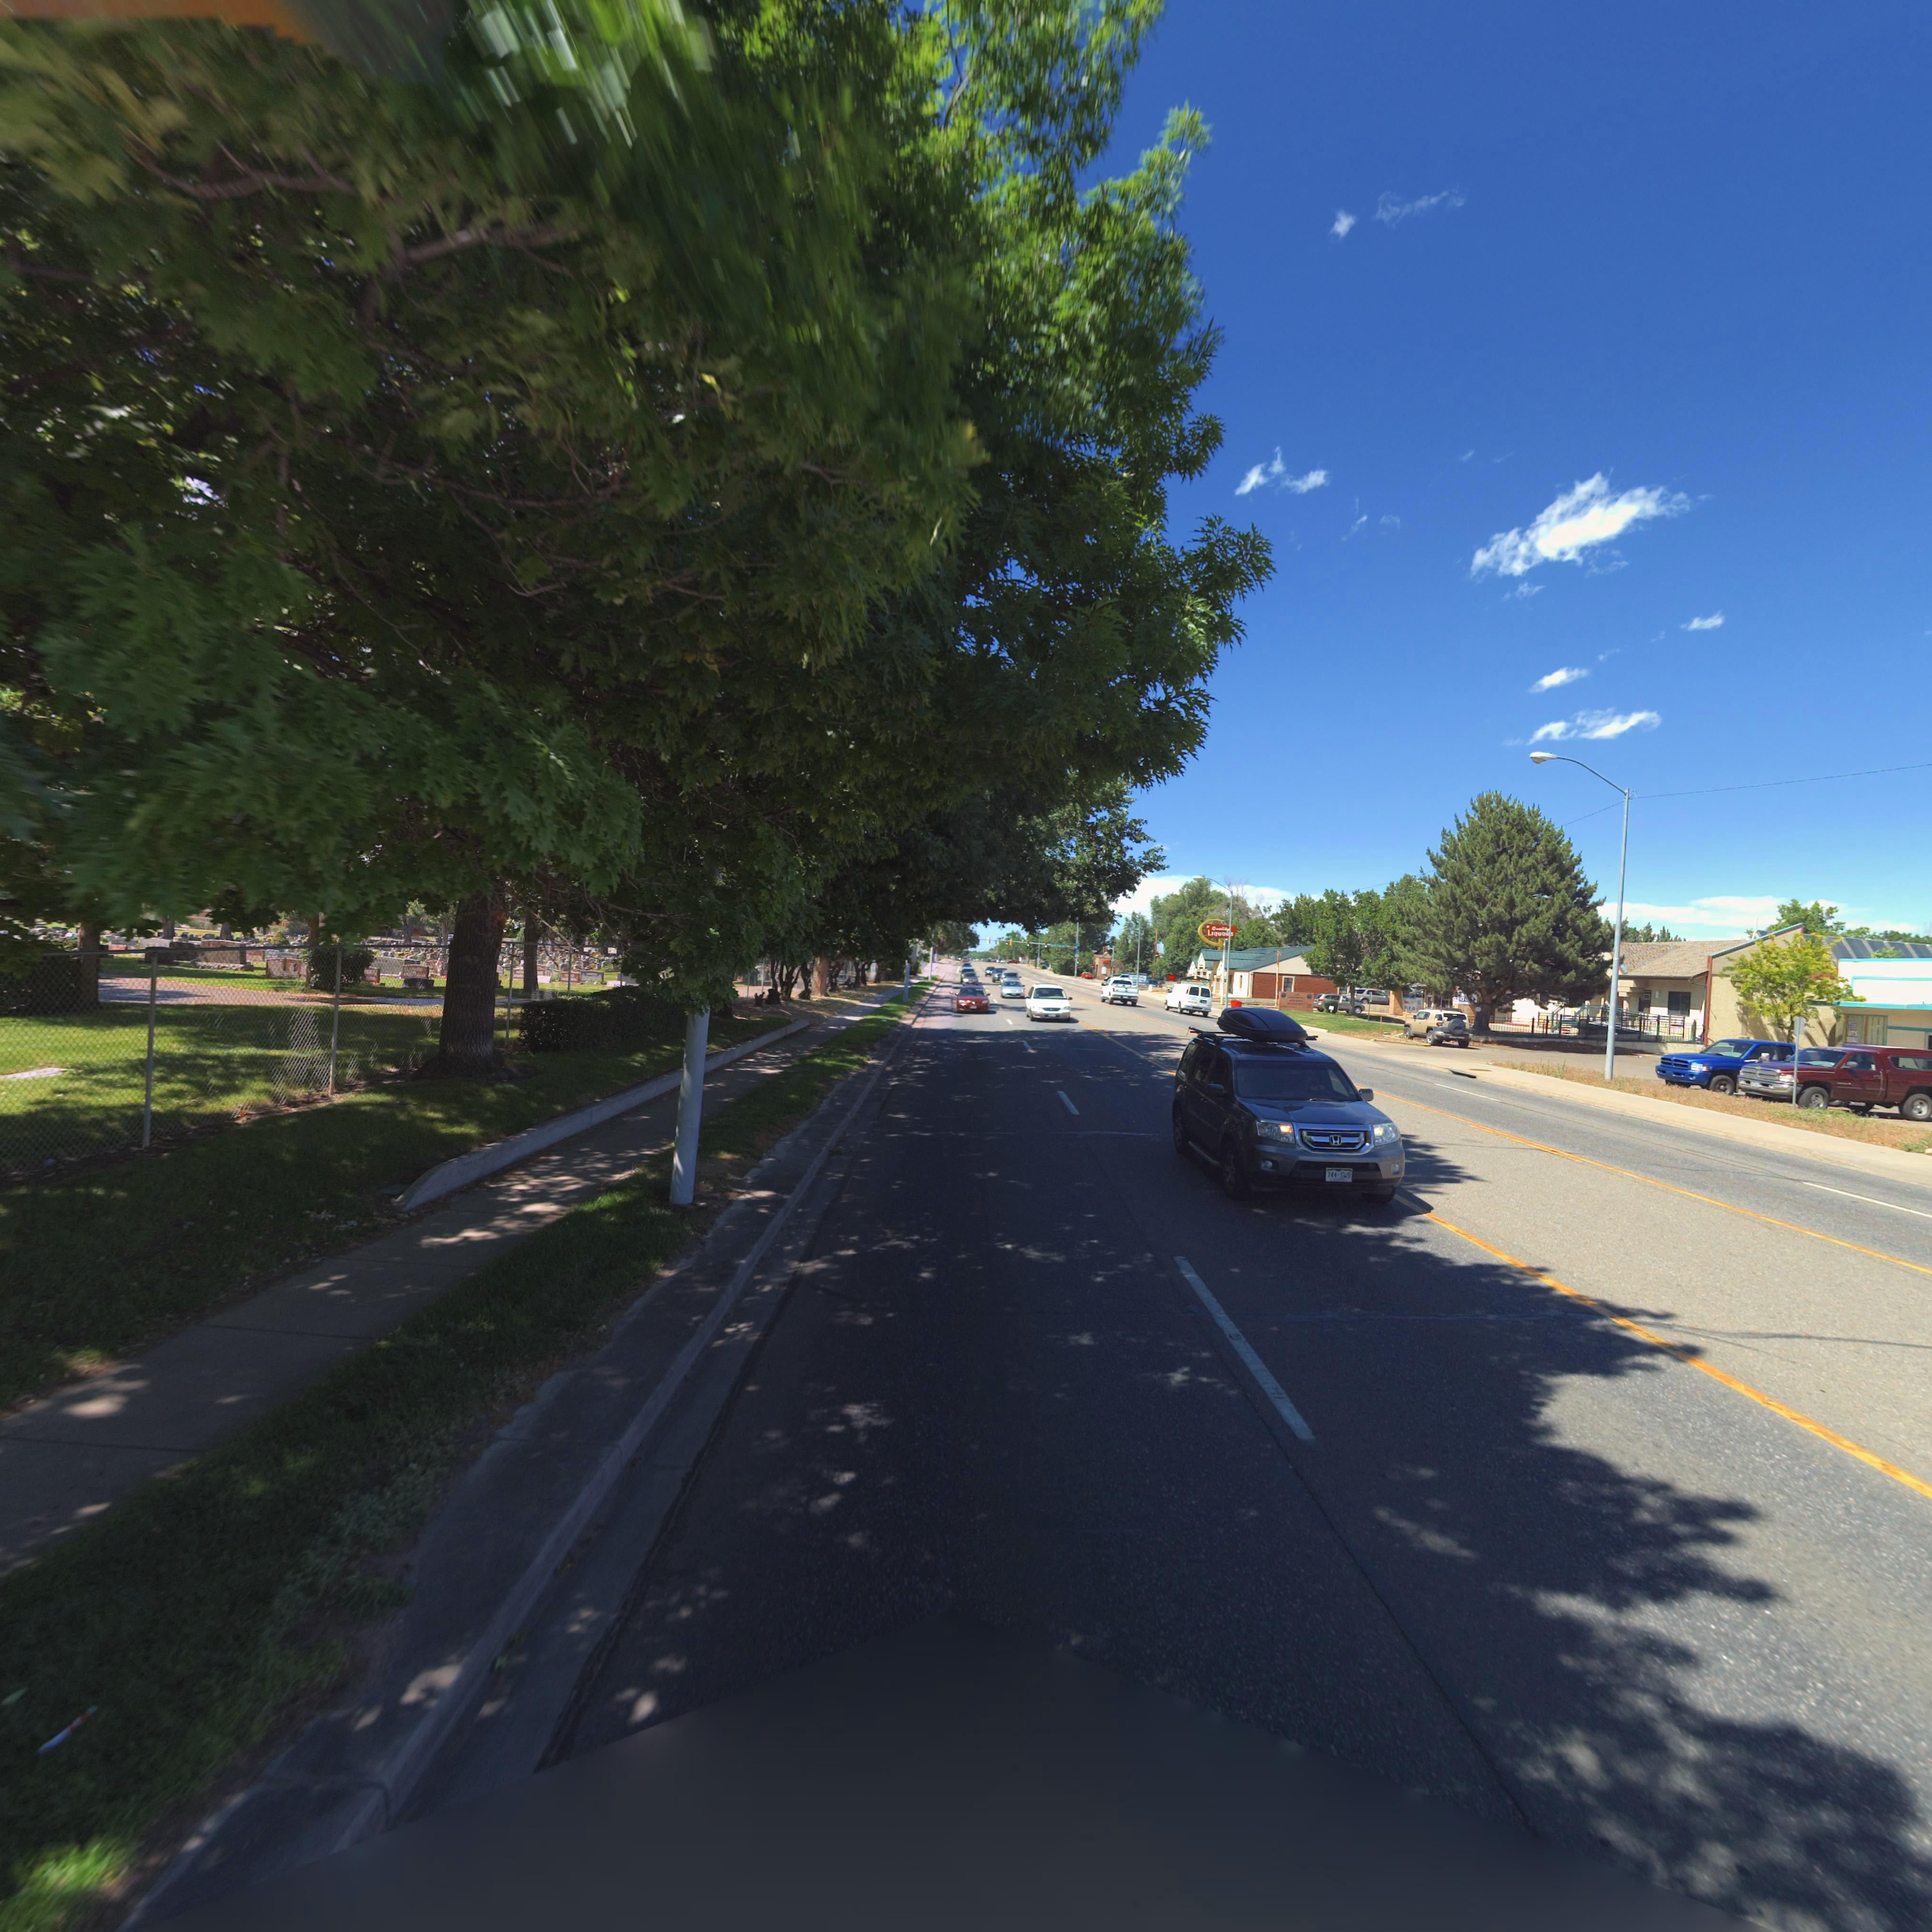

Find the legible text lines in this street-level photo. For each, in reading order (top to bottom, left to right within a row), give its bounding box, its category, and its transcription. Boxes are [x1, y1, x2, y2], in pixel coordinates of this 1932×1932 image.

[1211, 926, 1229, 931] BusinessName: Quality
[1207, 929, 1234, 937] BusinessName: LIQUORS